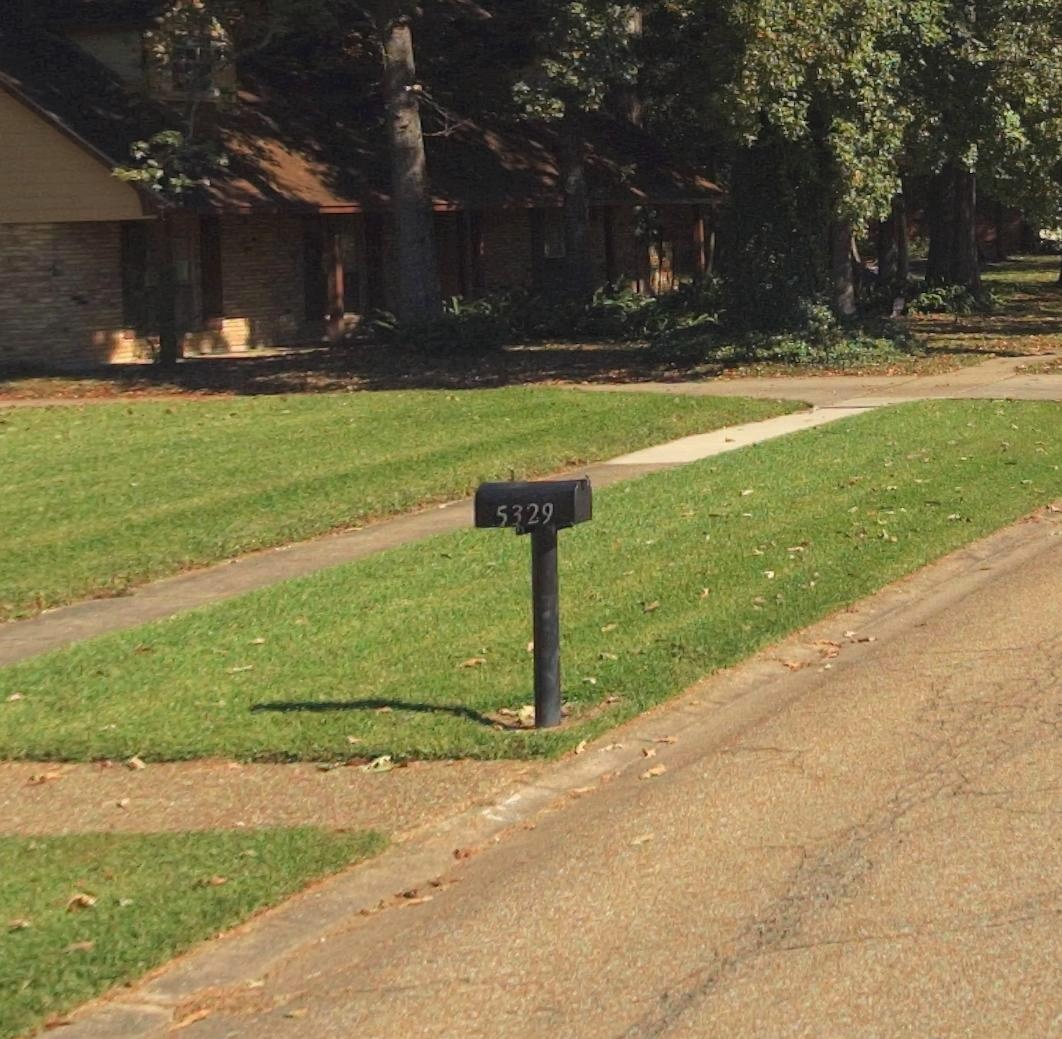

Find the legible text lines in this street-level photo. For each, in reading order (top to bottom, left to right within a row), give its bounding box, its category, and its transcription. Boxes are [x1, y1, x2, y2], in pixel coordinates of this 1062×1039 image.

[494, 500, 557, 530] StreetNumber: 5329